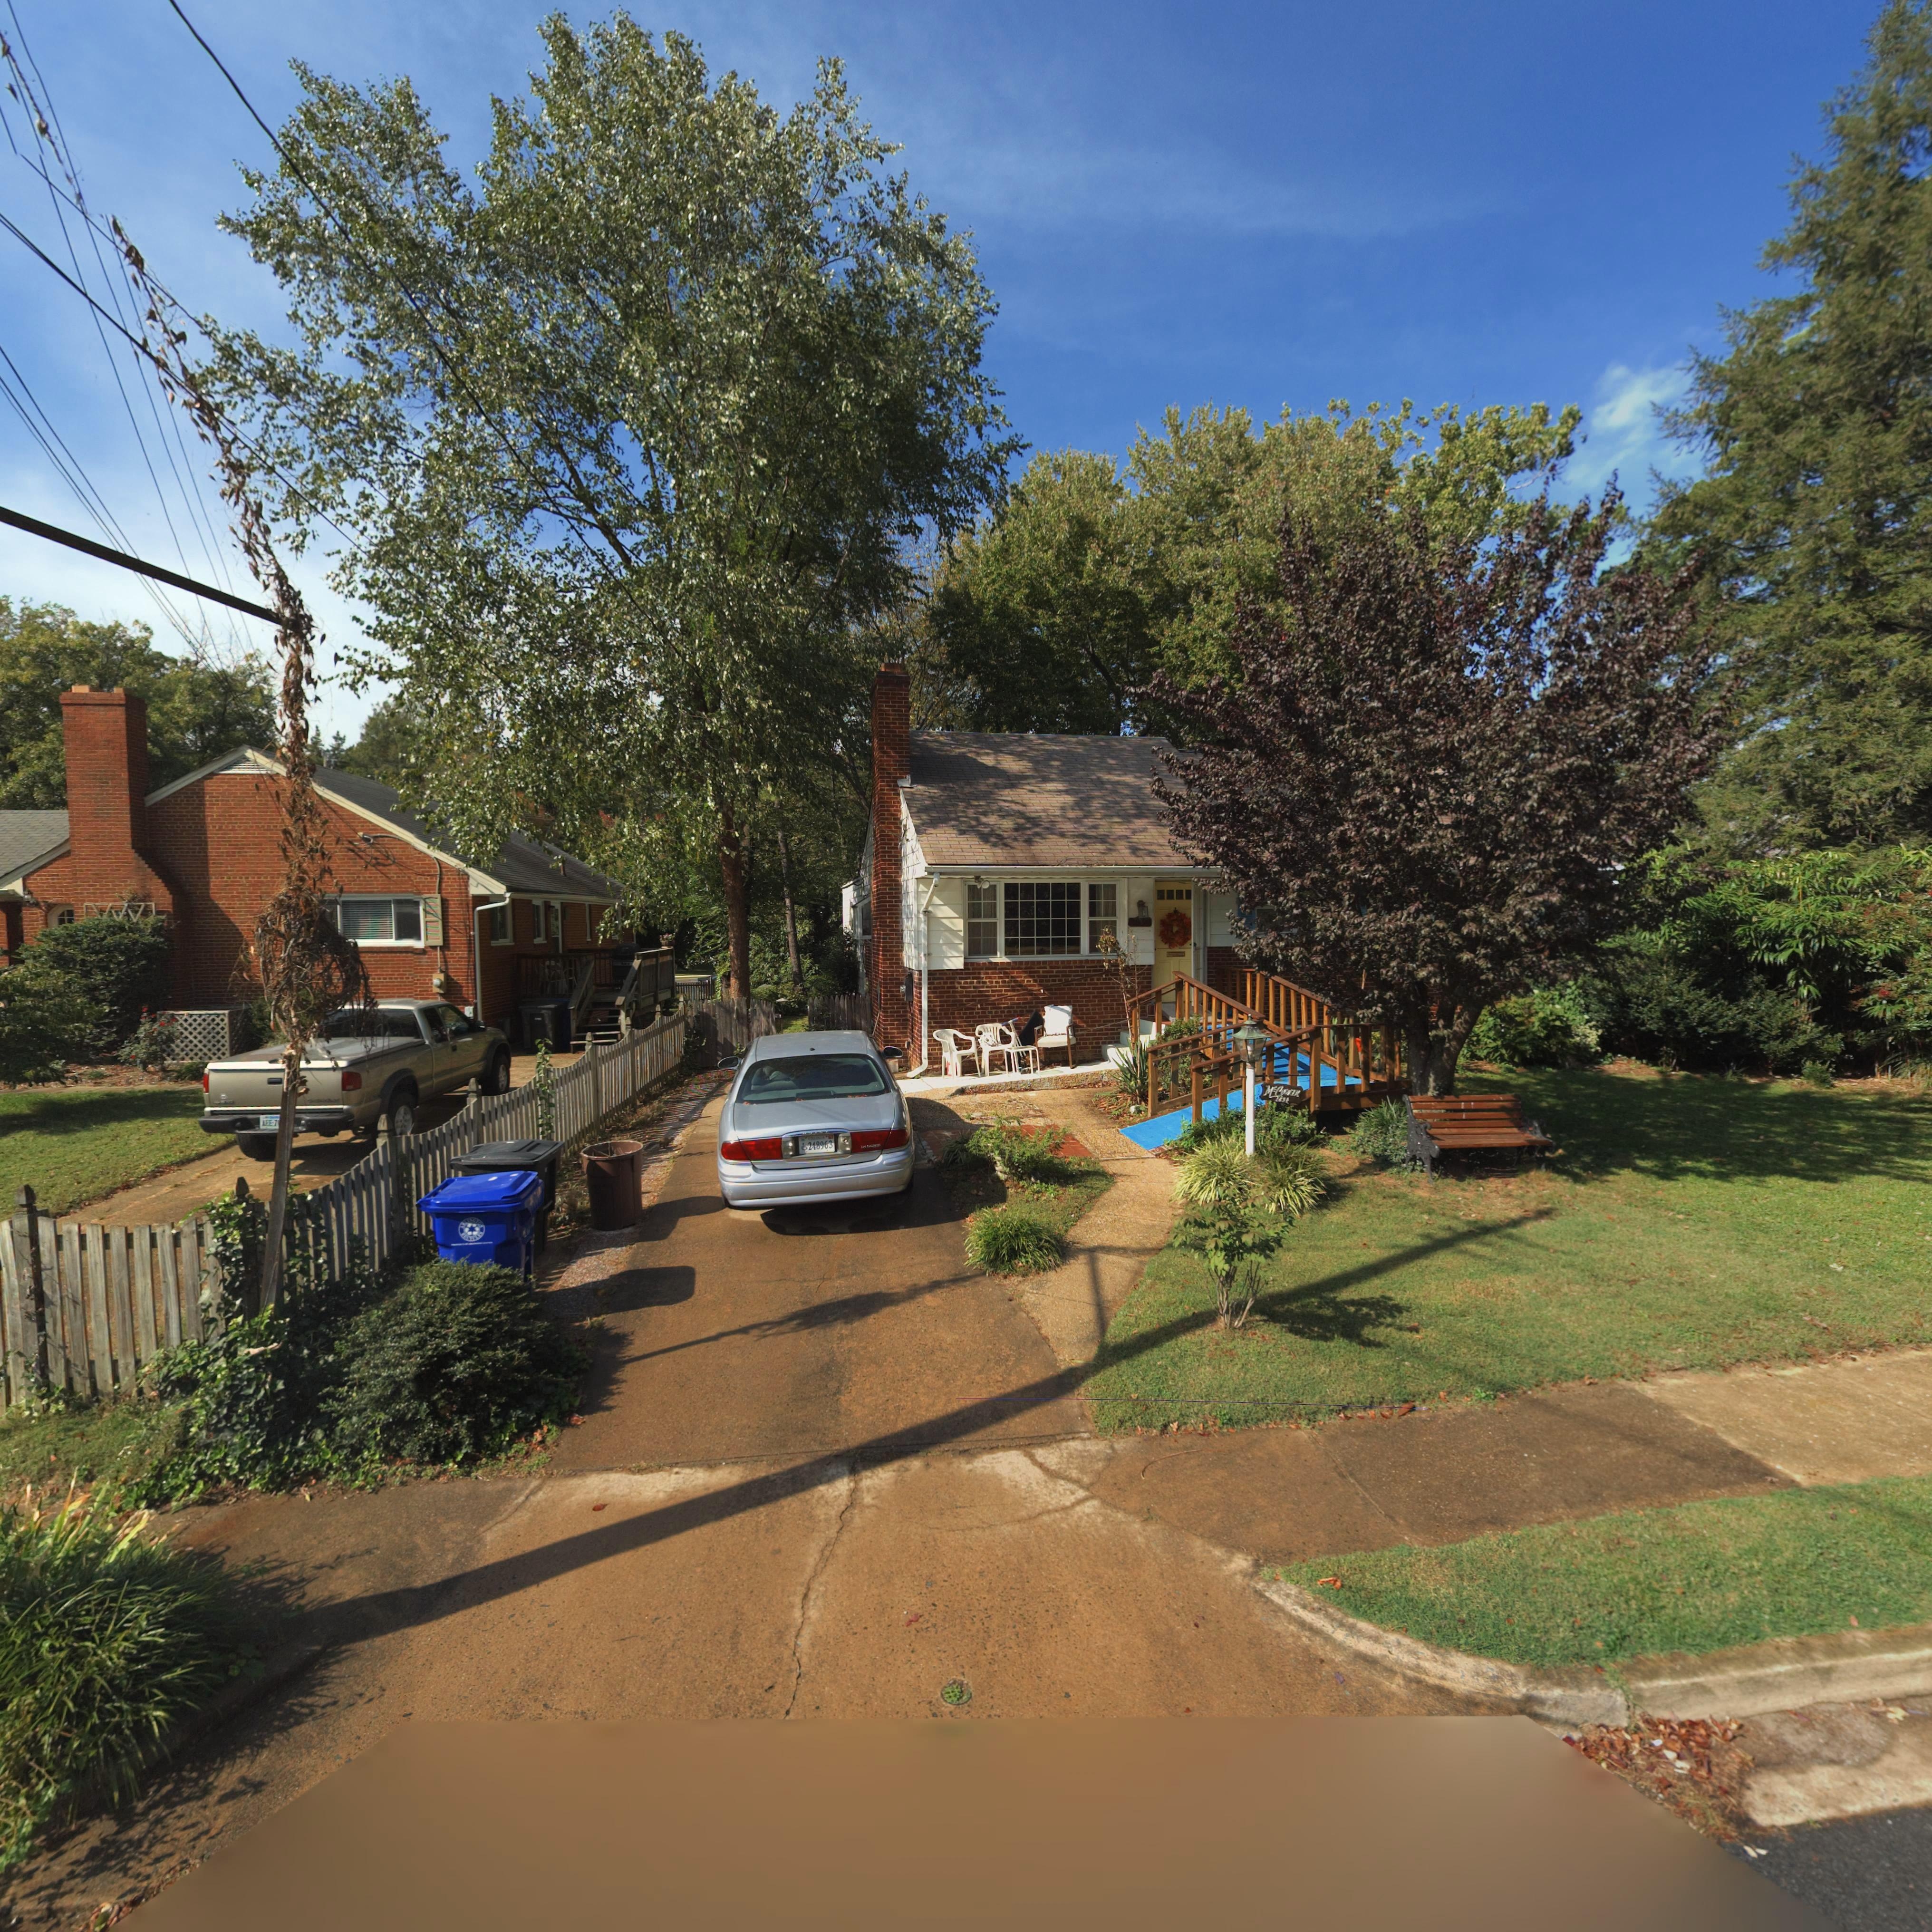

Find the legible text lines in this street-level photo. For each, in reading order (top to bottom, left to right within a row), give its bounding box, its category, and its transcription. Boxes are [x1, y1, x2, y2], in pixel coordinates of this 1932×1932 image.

[261, 1119, 278, 1127] None: AEE-7
[807, 1140, 833, 1151] None: 248963